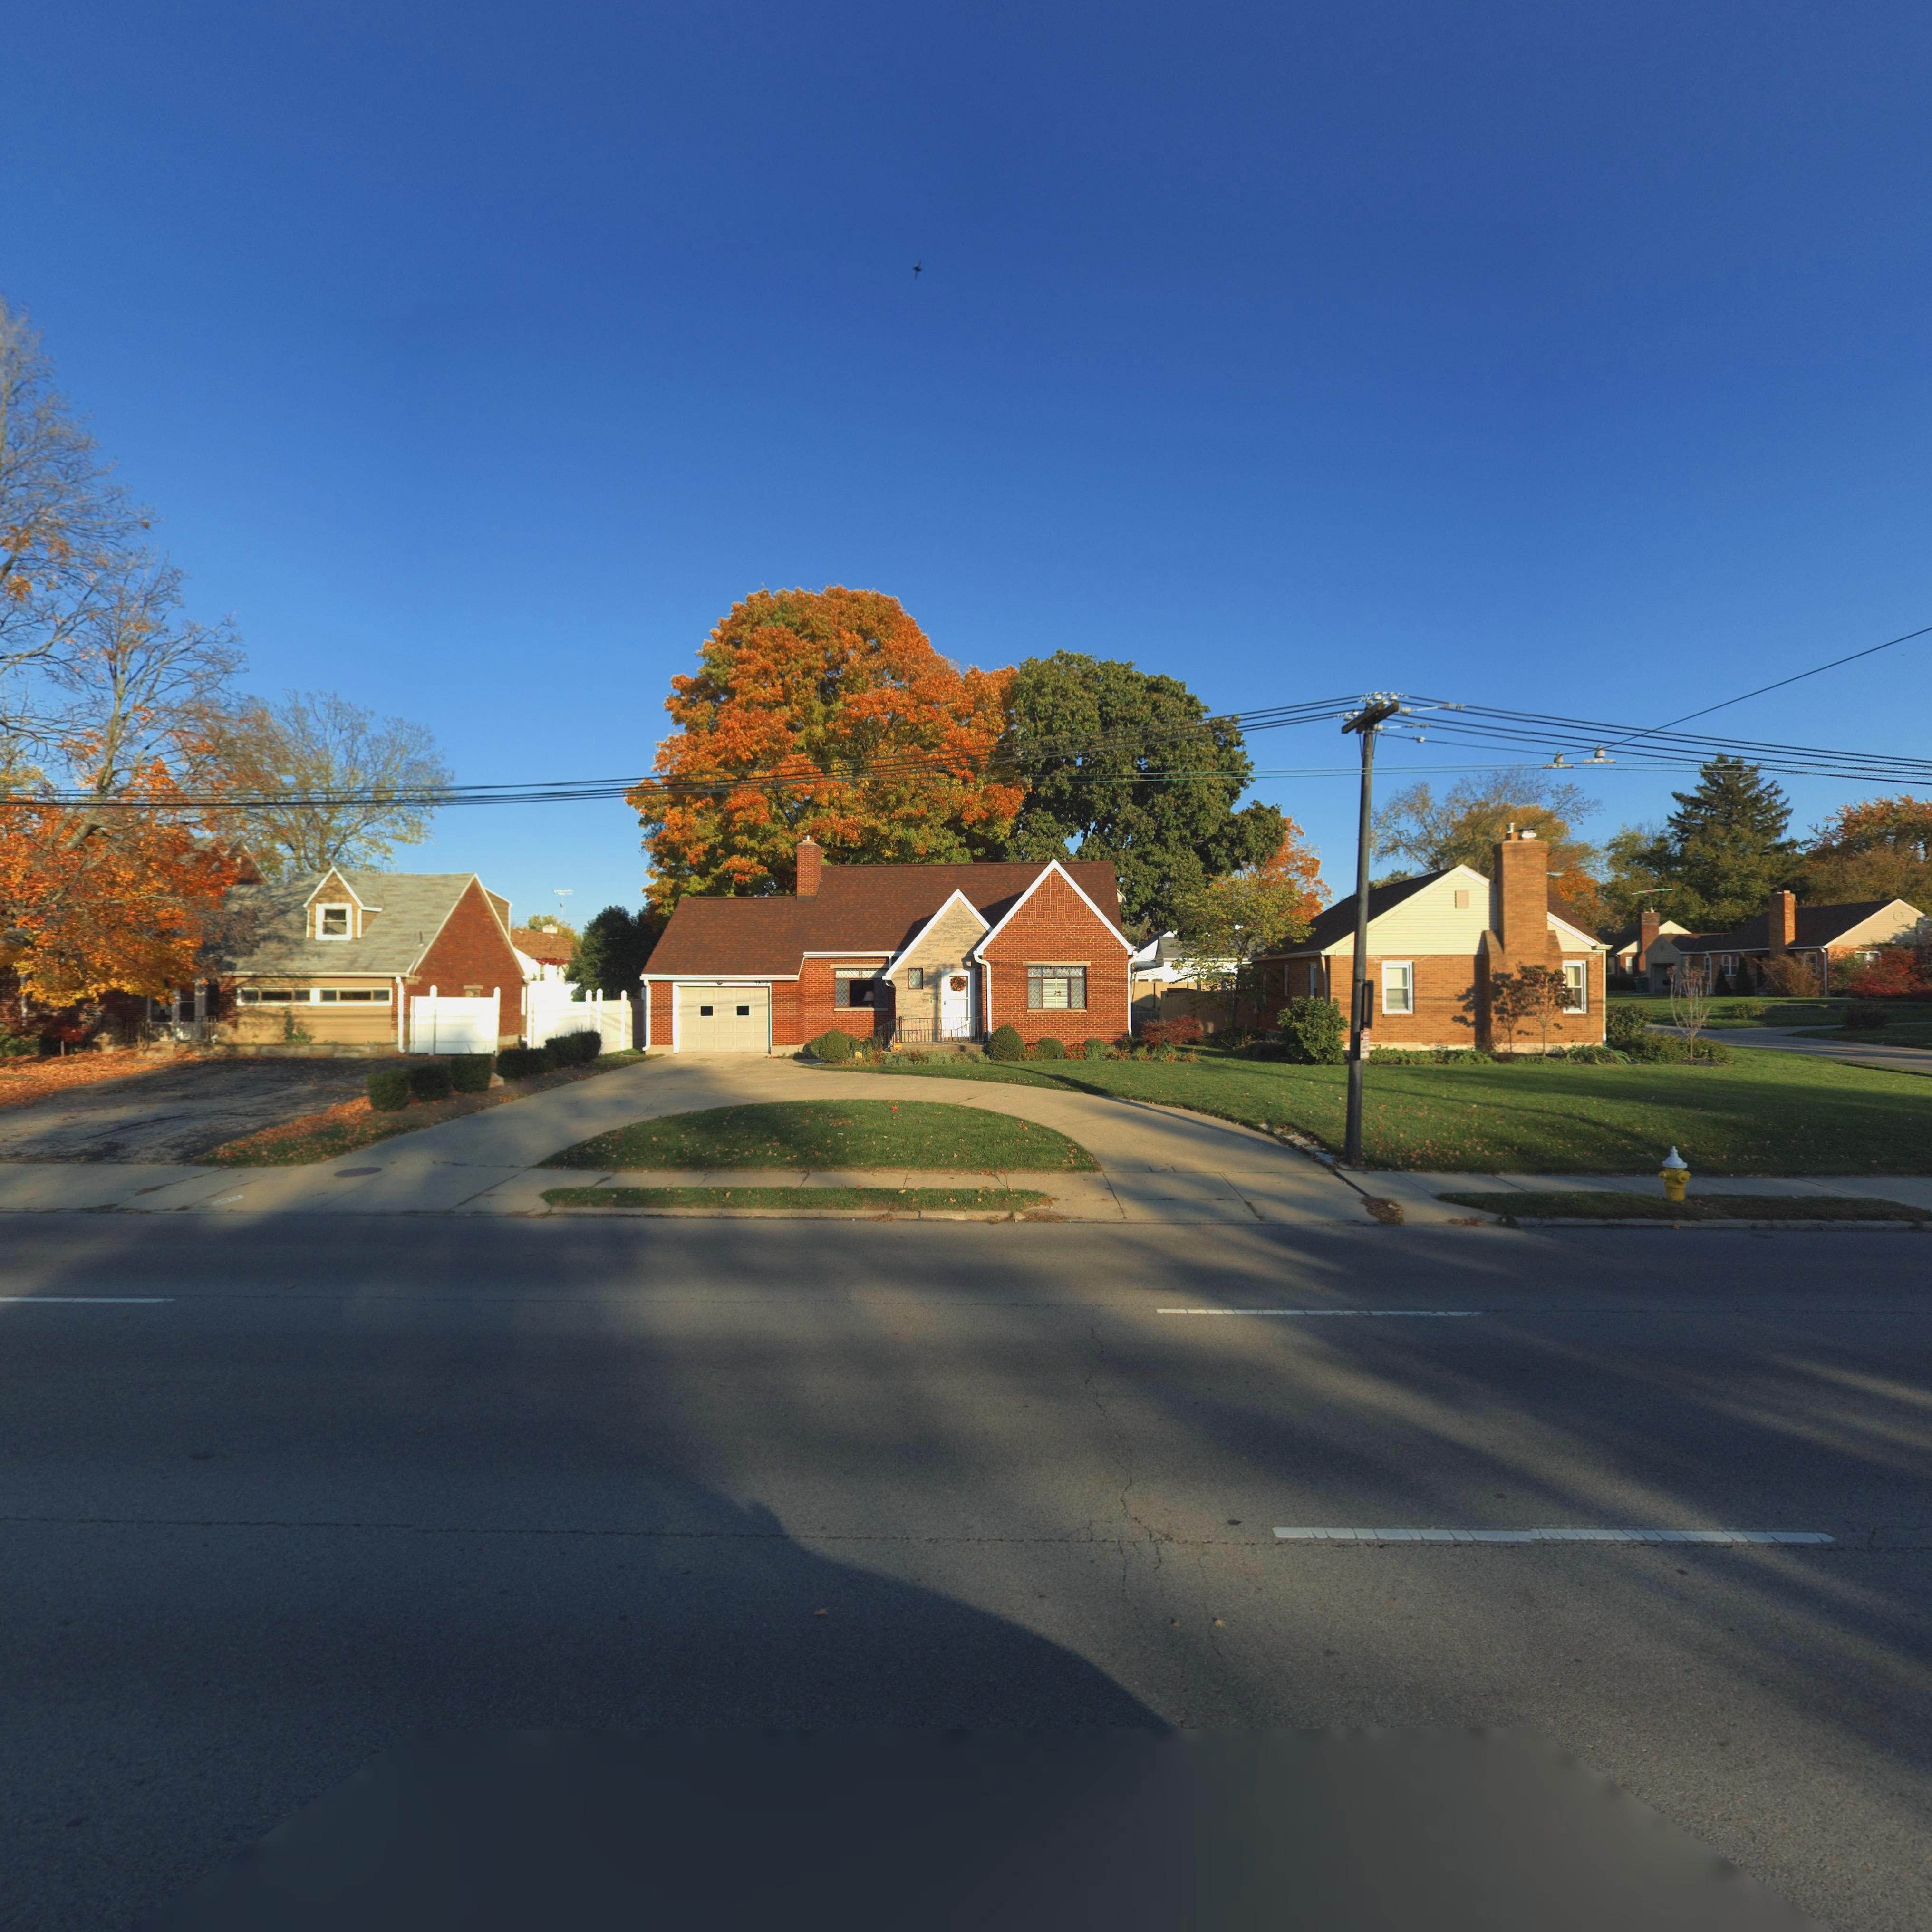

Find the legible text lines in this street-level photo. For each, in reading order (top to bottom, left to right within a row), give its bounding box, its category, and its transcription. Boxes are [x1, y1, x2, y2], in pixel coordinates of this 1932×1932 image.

[754, 980, 769, 985] StreetNumber: 3812